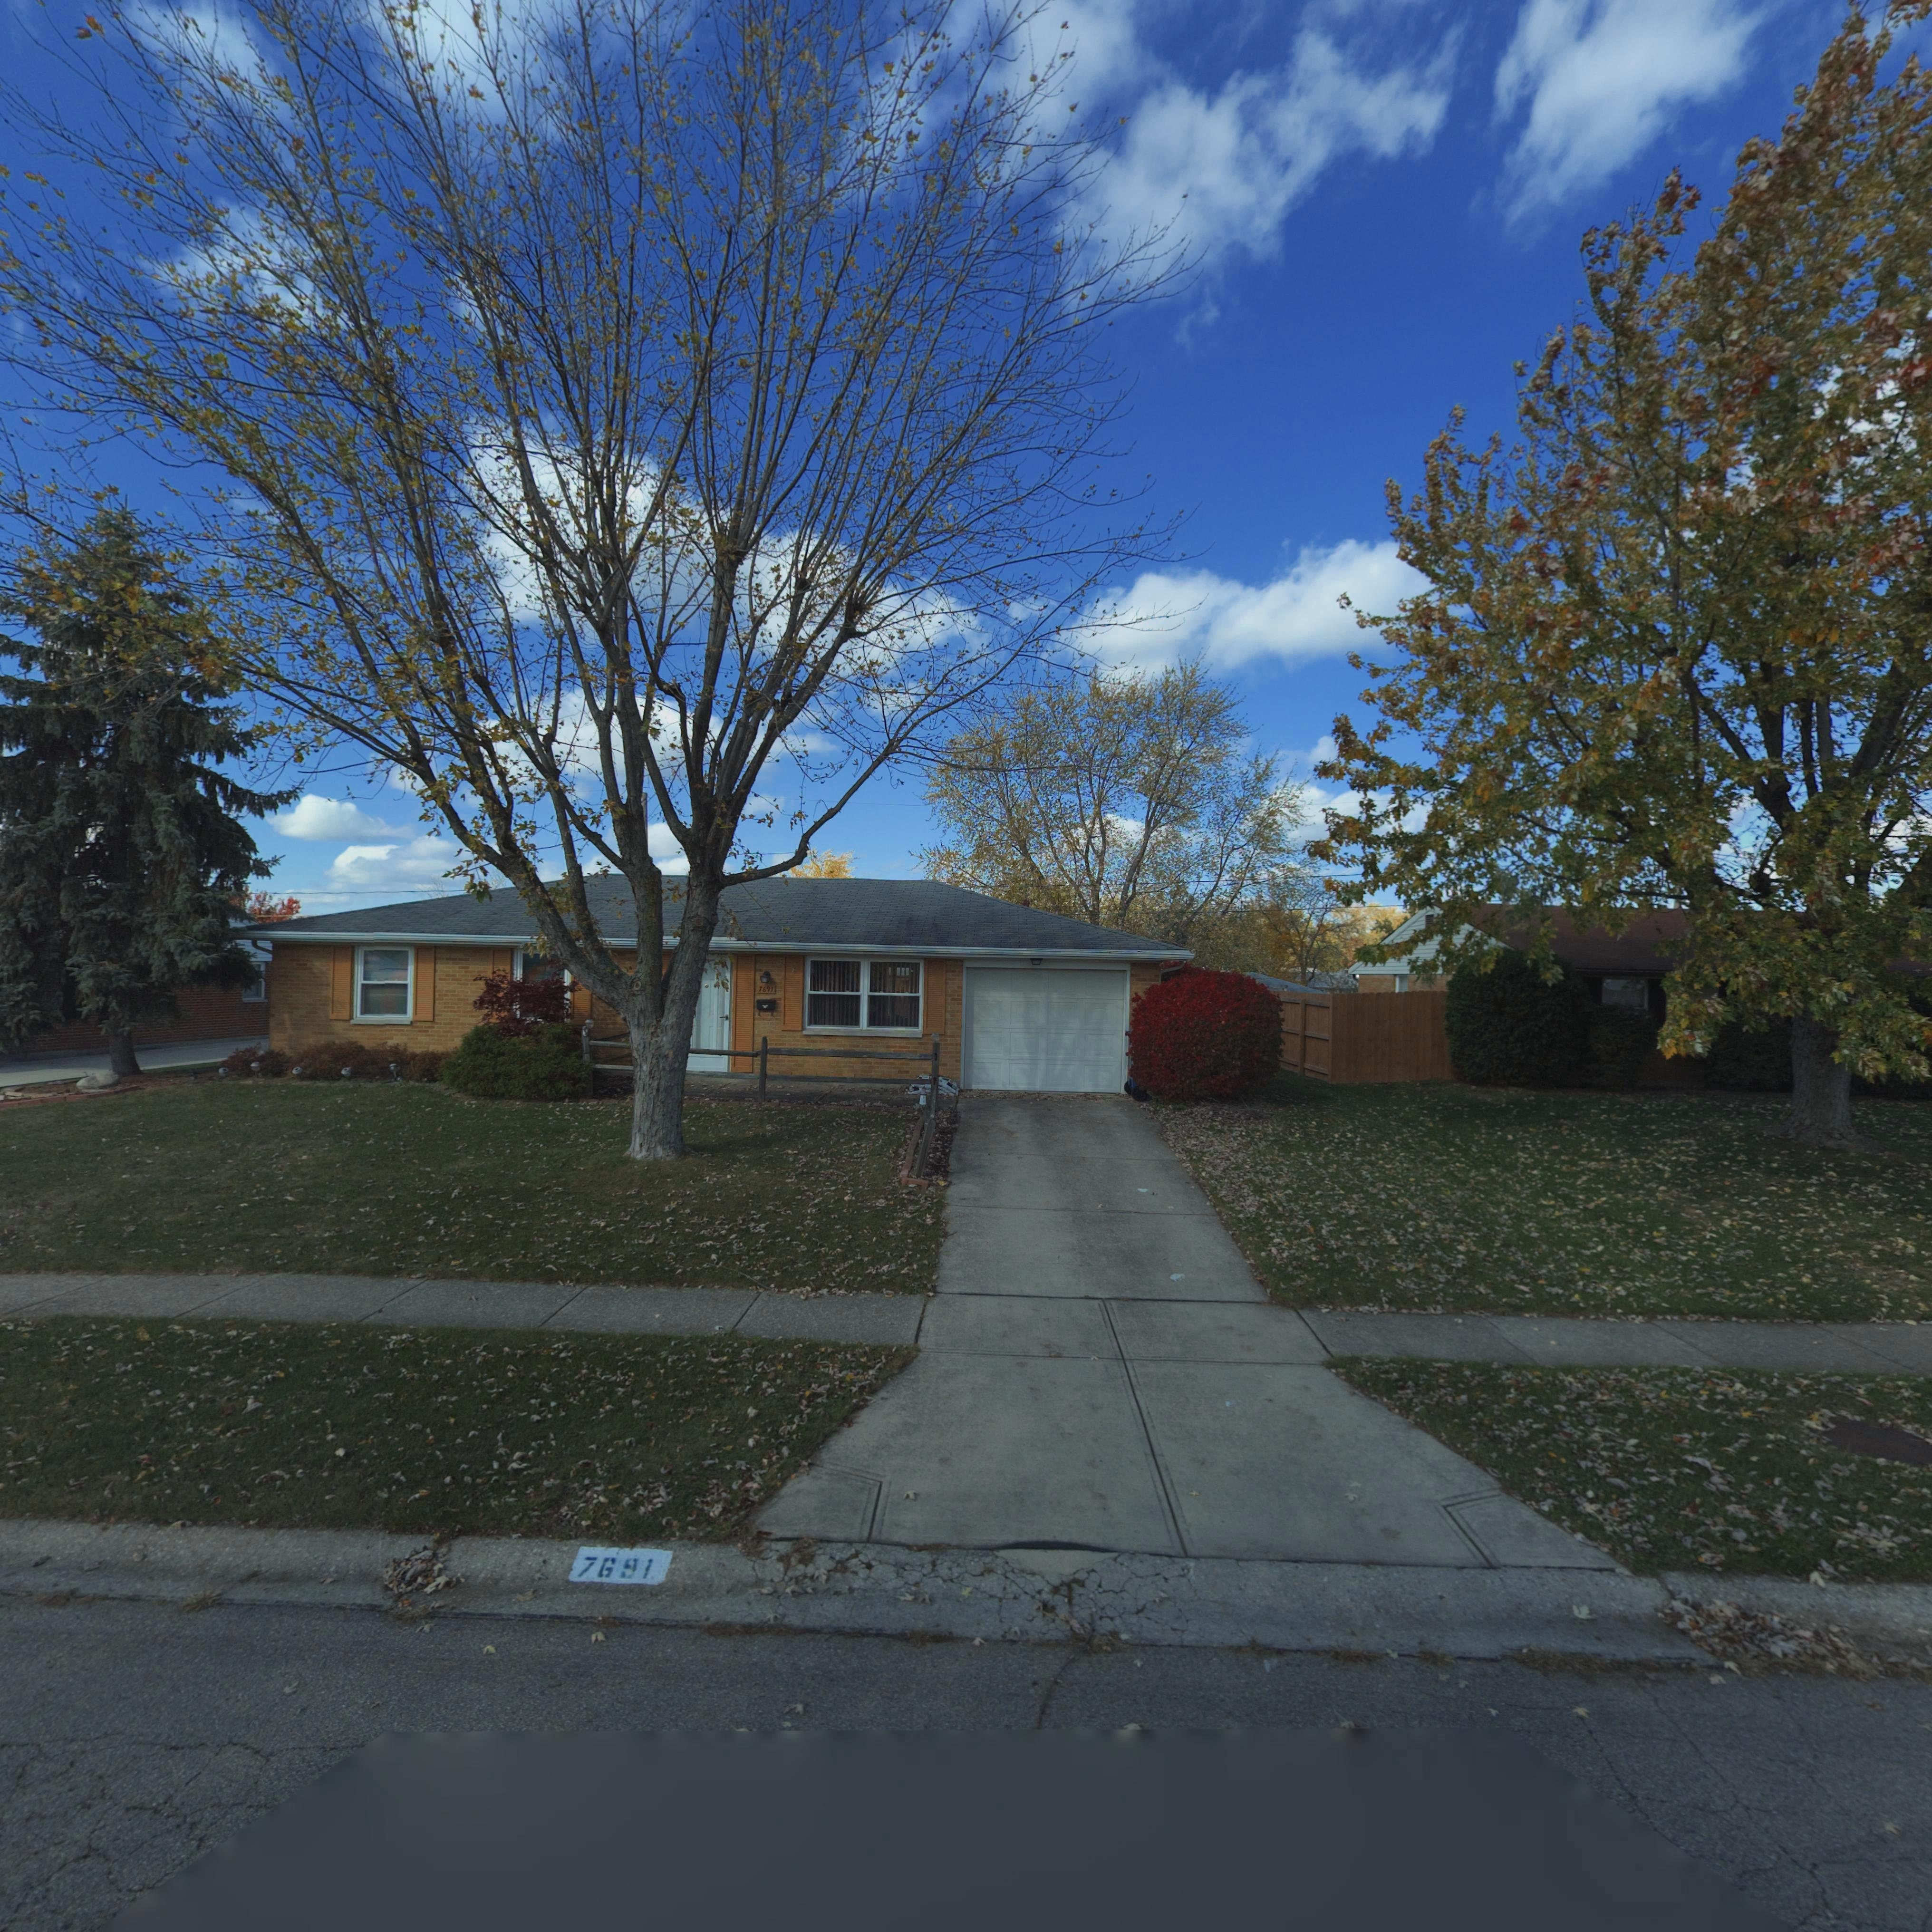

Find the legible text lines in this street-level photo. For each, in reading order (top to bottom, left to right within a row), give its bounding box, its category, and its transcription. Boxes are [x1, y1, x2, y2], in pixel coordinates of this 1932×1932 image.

[758, 985, 774, 993] StreetNumber: 7691
[576, 1555, 656, 1581] StreetNumber: 7691